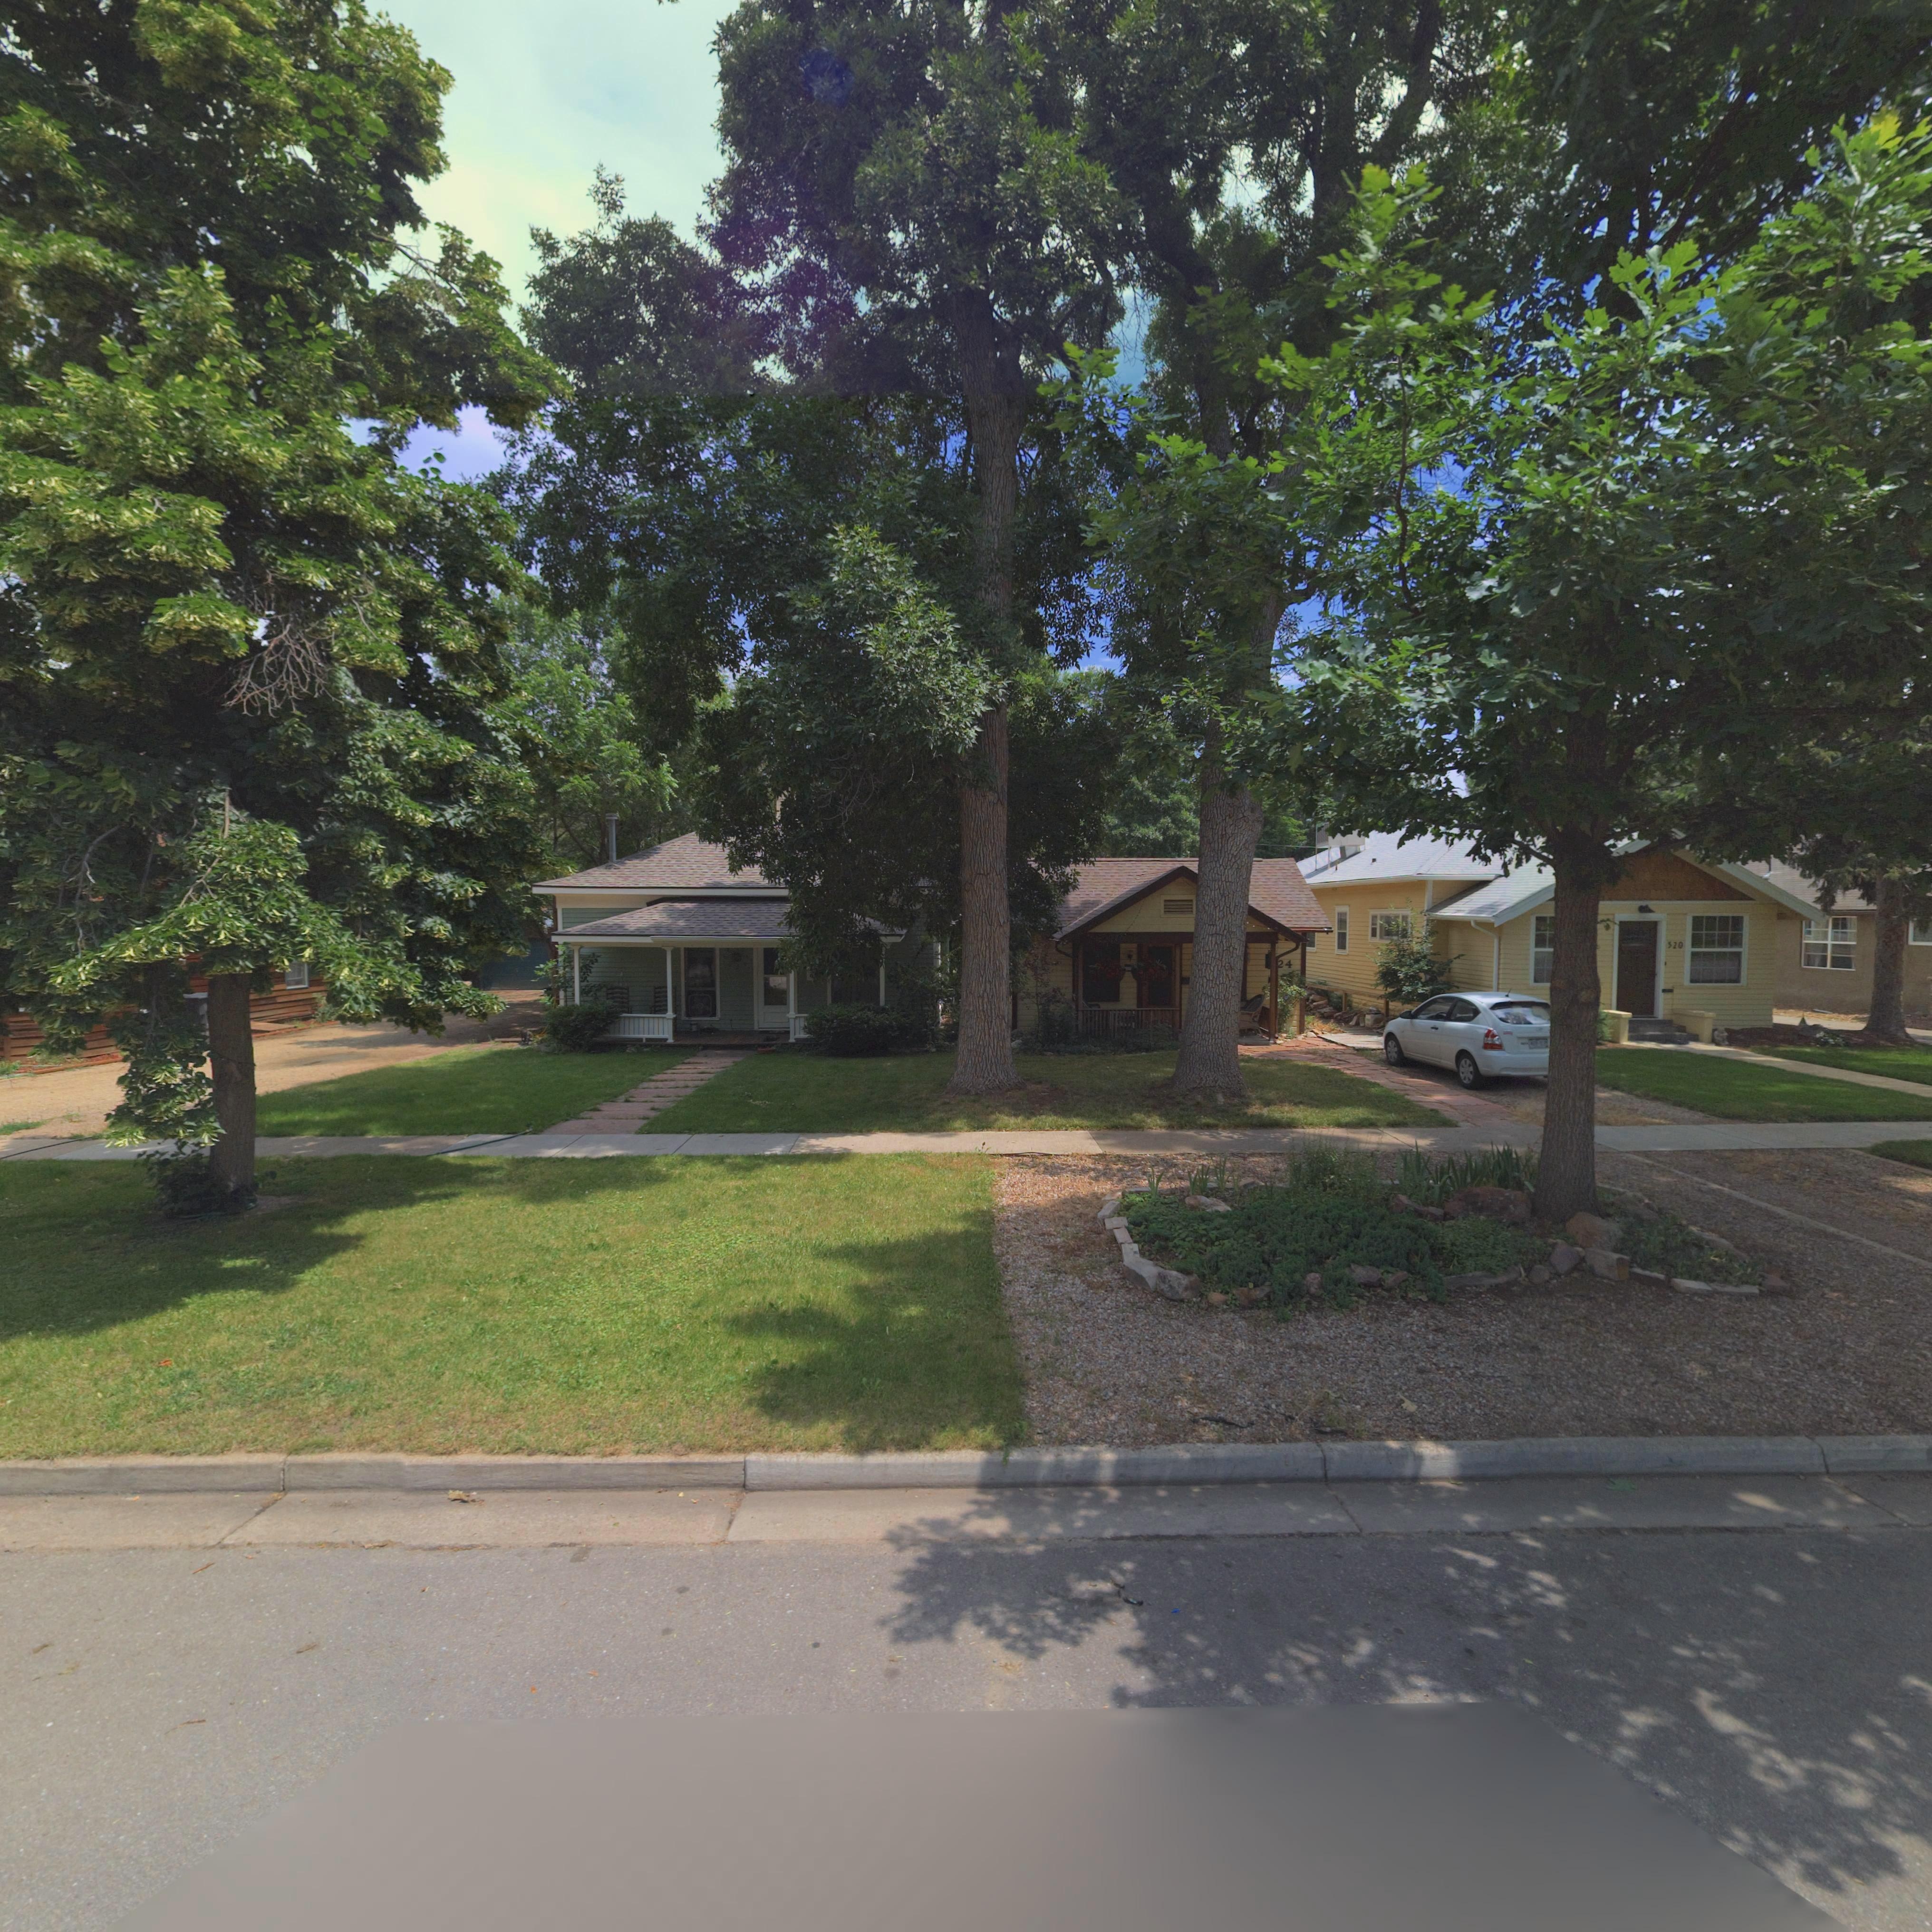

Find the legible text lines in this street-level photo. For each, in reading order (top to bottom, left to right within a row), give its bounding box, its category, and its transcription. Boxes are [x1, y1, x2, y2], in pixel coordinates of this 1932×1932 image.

[1667, 940, 1683, 949] StreetNumber: 520
[1277, 959, 1293, 968] StreetNumber: 24